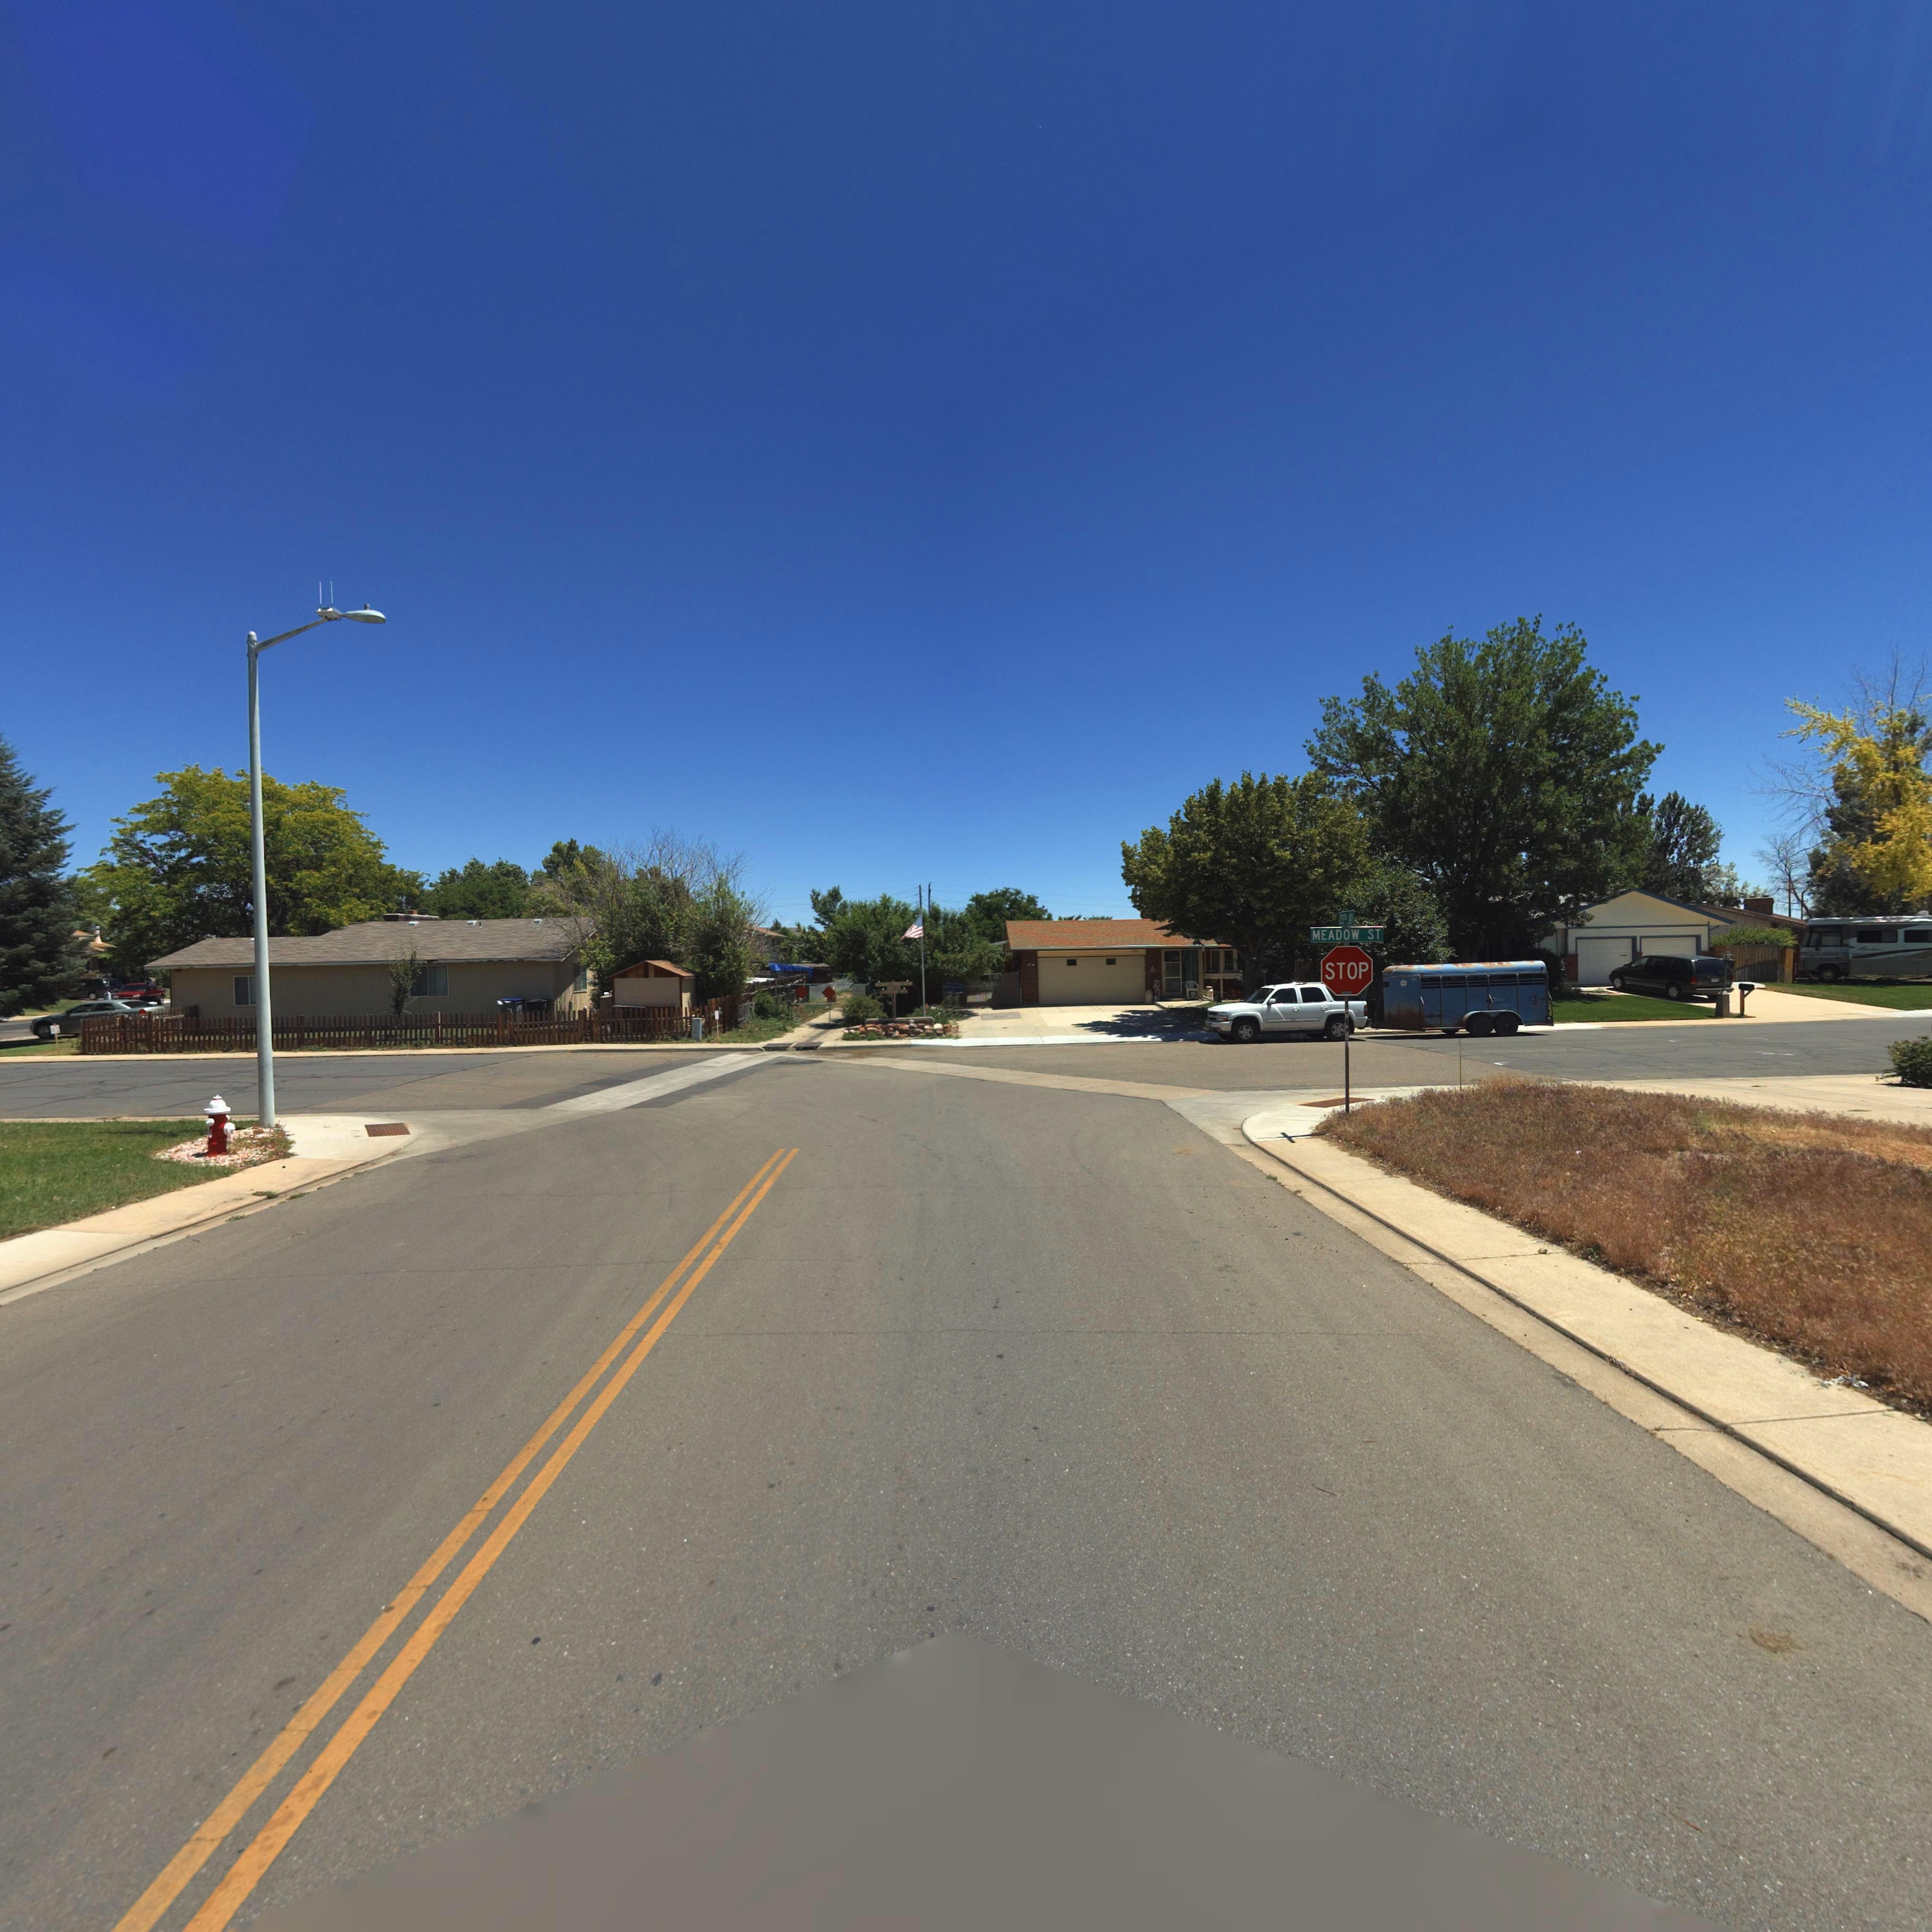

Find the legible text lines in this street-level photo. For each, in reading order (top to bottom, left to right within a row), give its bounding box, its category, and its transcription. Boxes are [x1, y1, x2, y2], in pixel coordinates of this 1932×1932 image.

[1339, 912, 1353, 924] StreetName: 23RD AV
[1311, 928, 1381, 941] StreetName: MEADOW ST